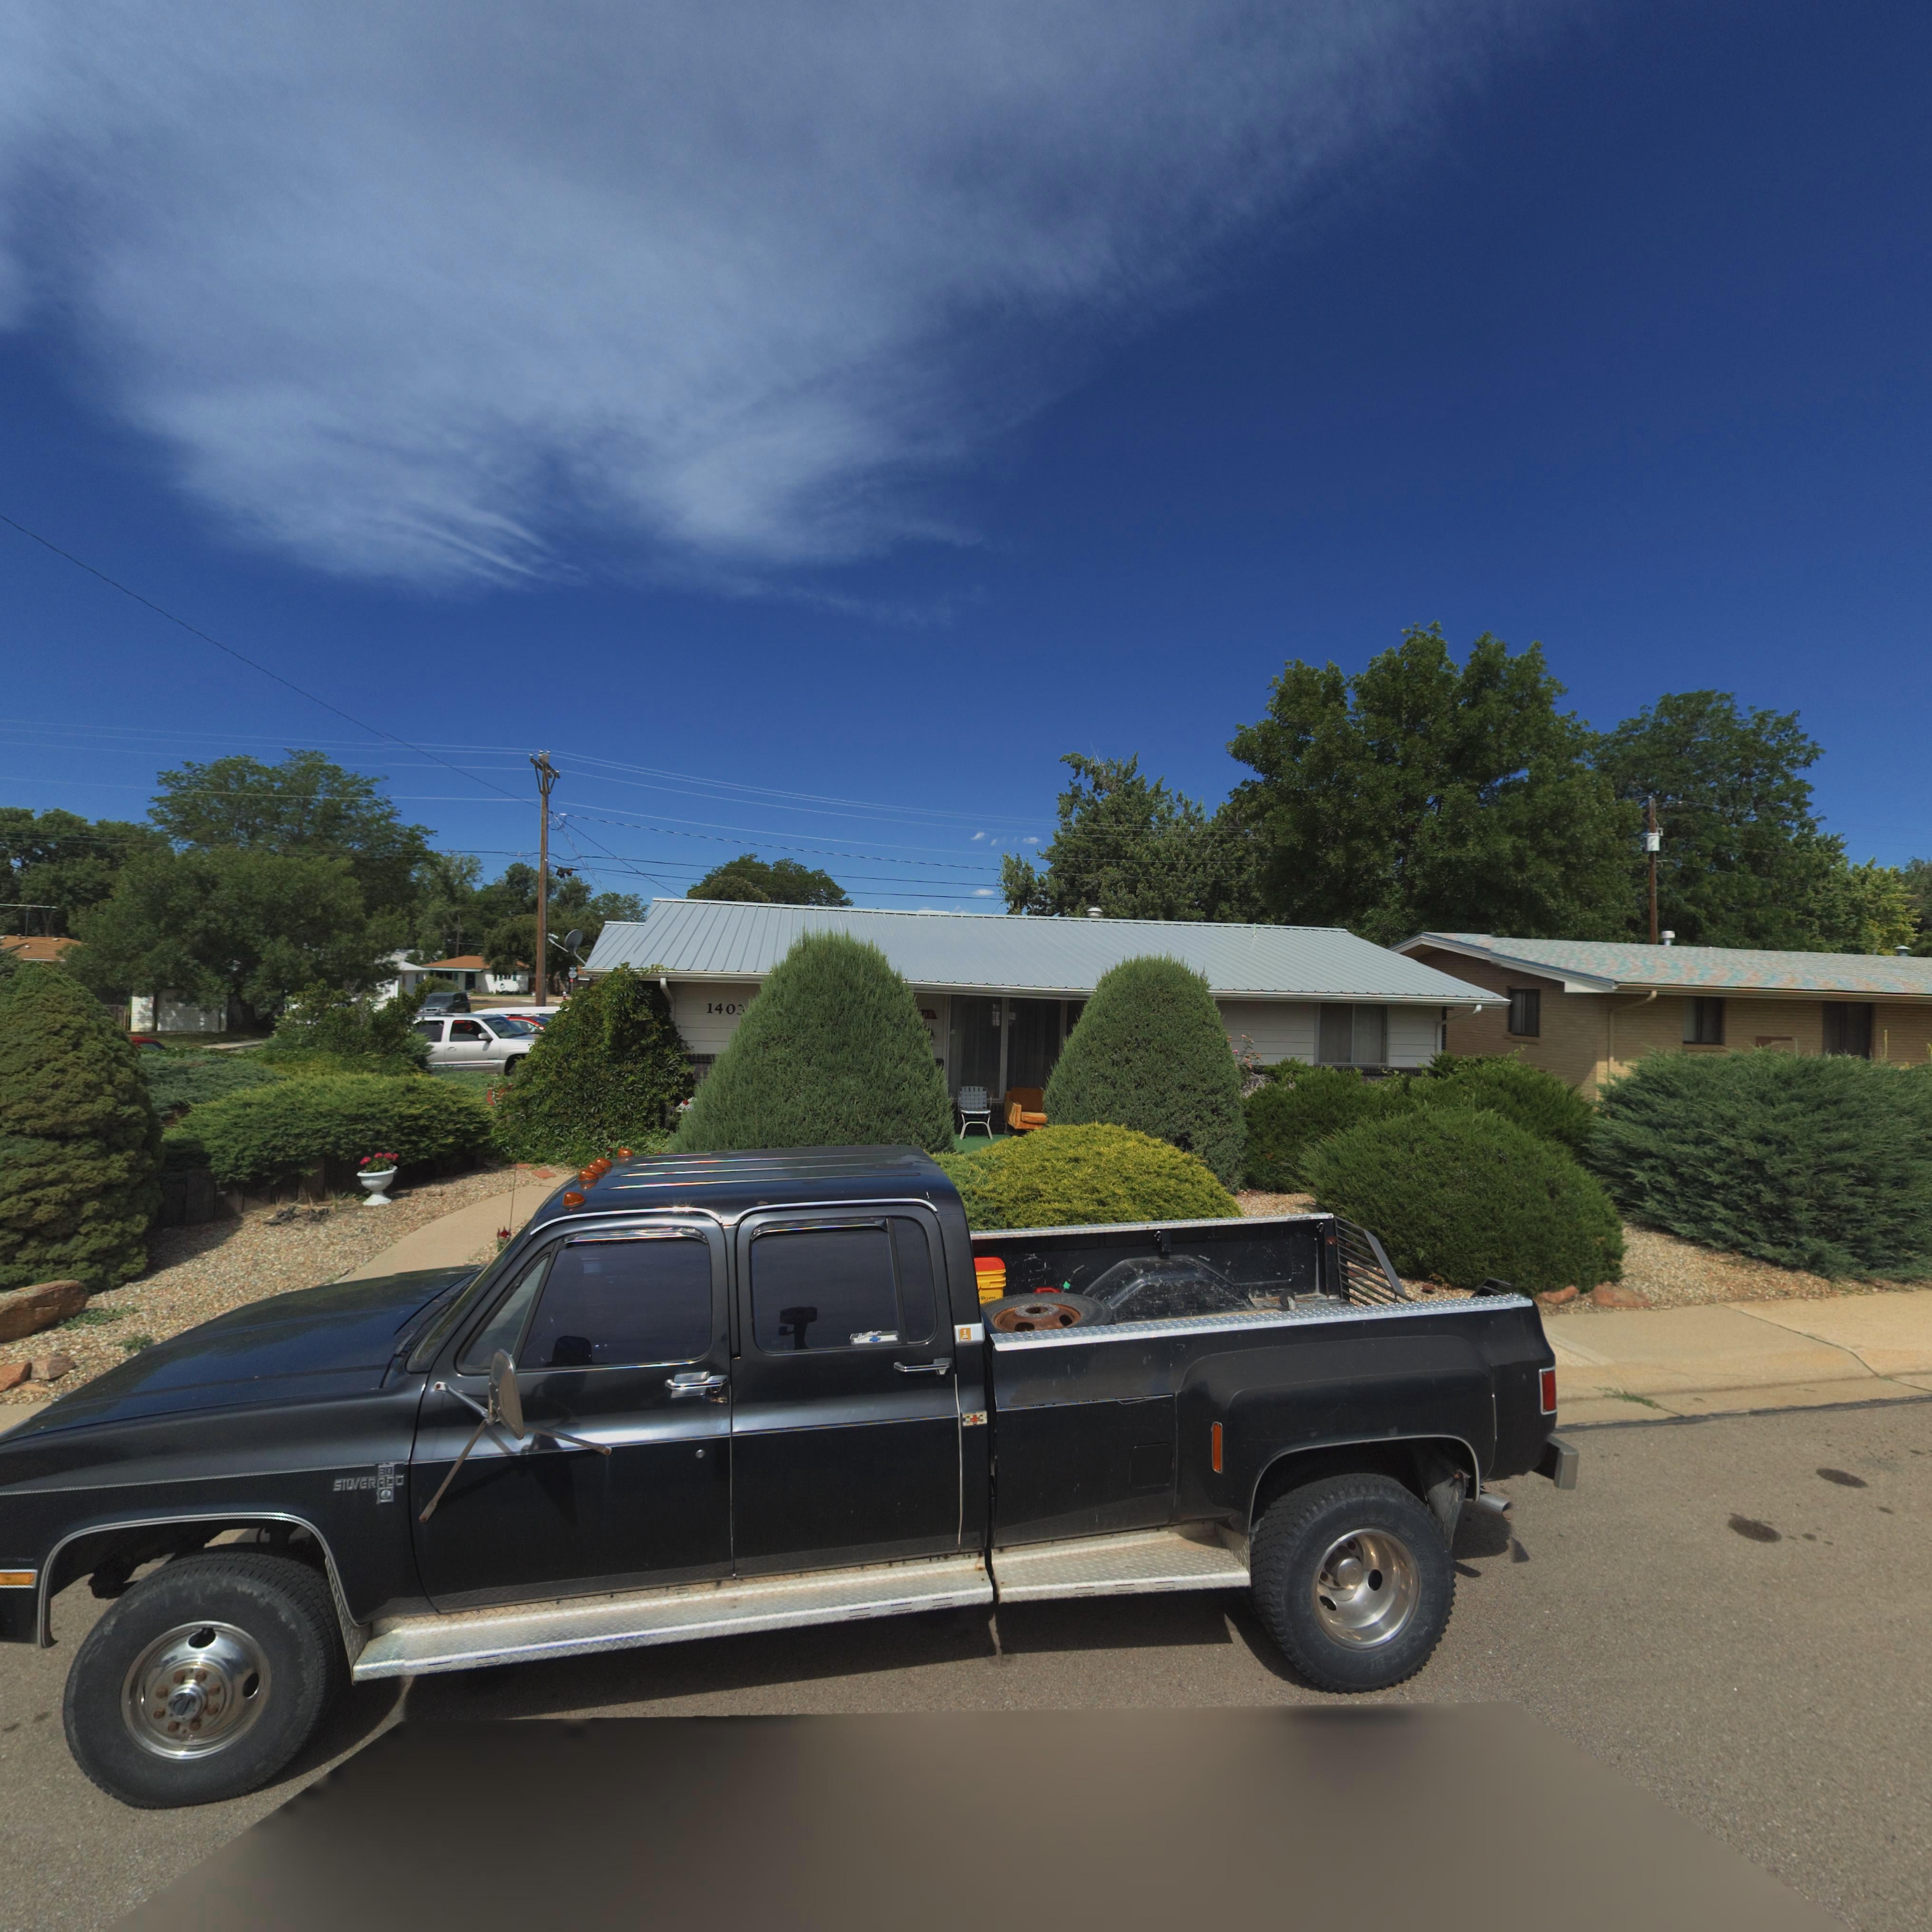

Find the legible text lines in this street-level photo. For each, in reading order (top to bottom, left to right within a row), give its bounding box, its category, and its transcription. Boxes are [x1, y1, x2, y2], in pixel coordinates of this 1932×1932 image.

[705, 1002, 745, 1015] StreetNumber: 1403
[917, 1011, 932, 1017] StreetNumber: *03